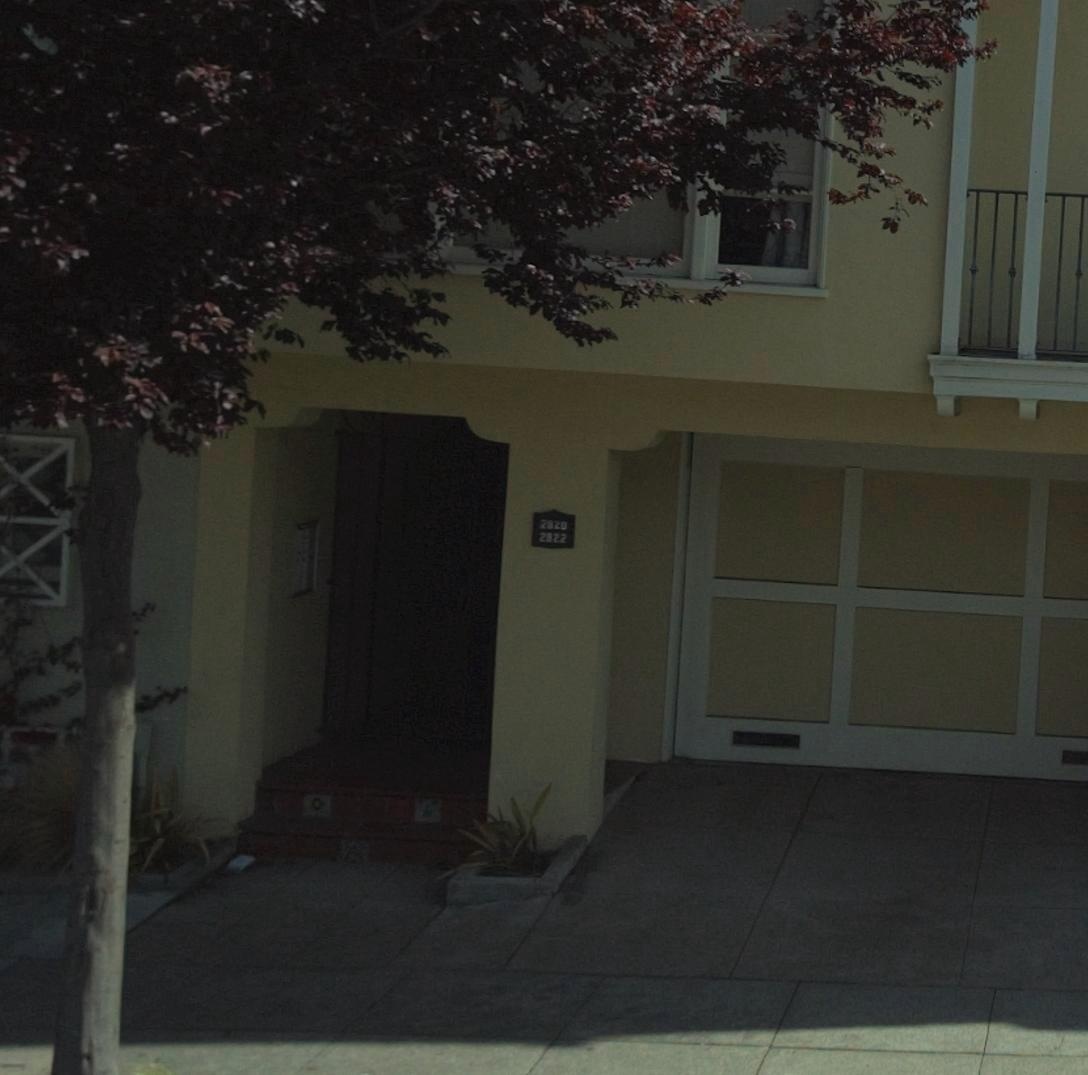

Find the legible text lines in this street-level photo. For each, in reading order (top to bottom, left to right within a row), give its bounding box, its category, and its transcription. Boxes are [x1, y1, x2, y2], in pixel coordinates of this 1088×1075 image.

[539, 517, 568, 531] StreetNumber: 2820
[538, 530, 568, 545] StreetNumber: 2822